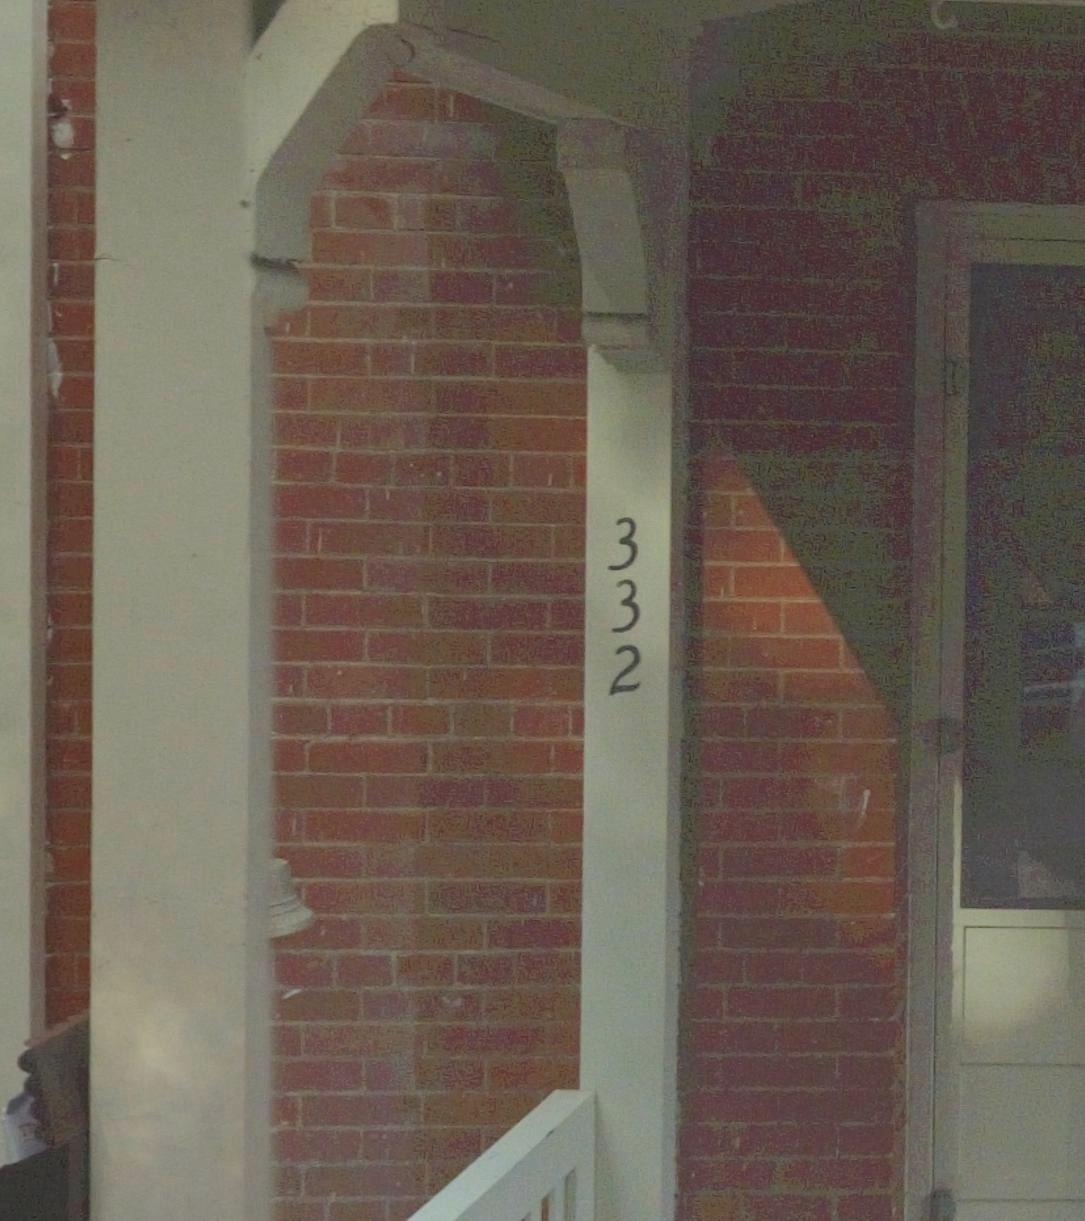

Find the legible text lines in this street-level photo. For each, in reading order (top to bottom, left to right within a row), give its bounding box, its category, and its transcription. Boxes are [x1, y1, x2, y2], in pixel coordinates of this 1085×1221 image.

[603, 515, 645, 699] StreetNumber: 332